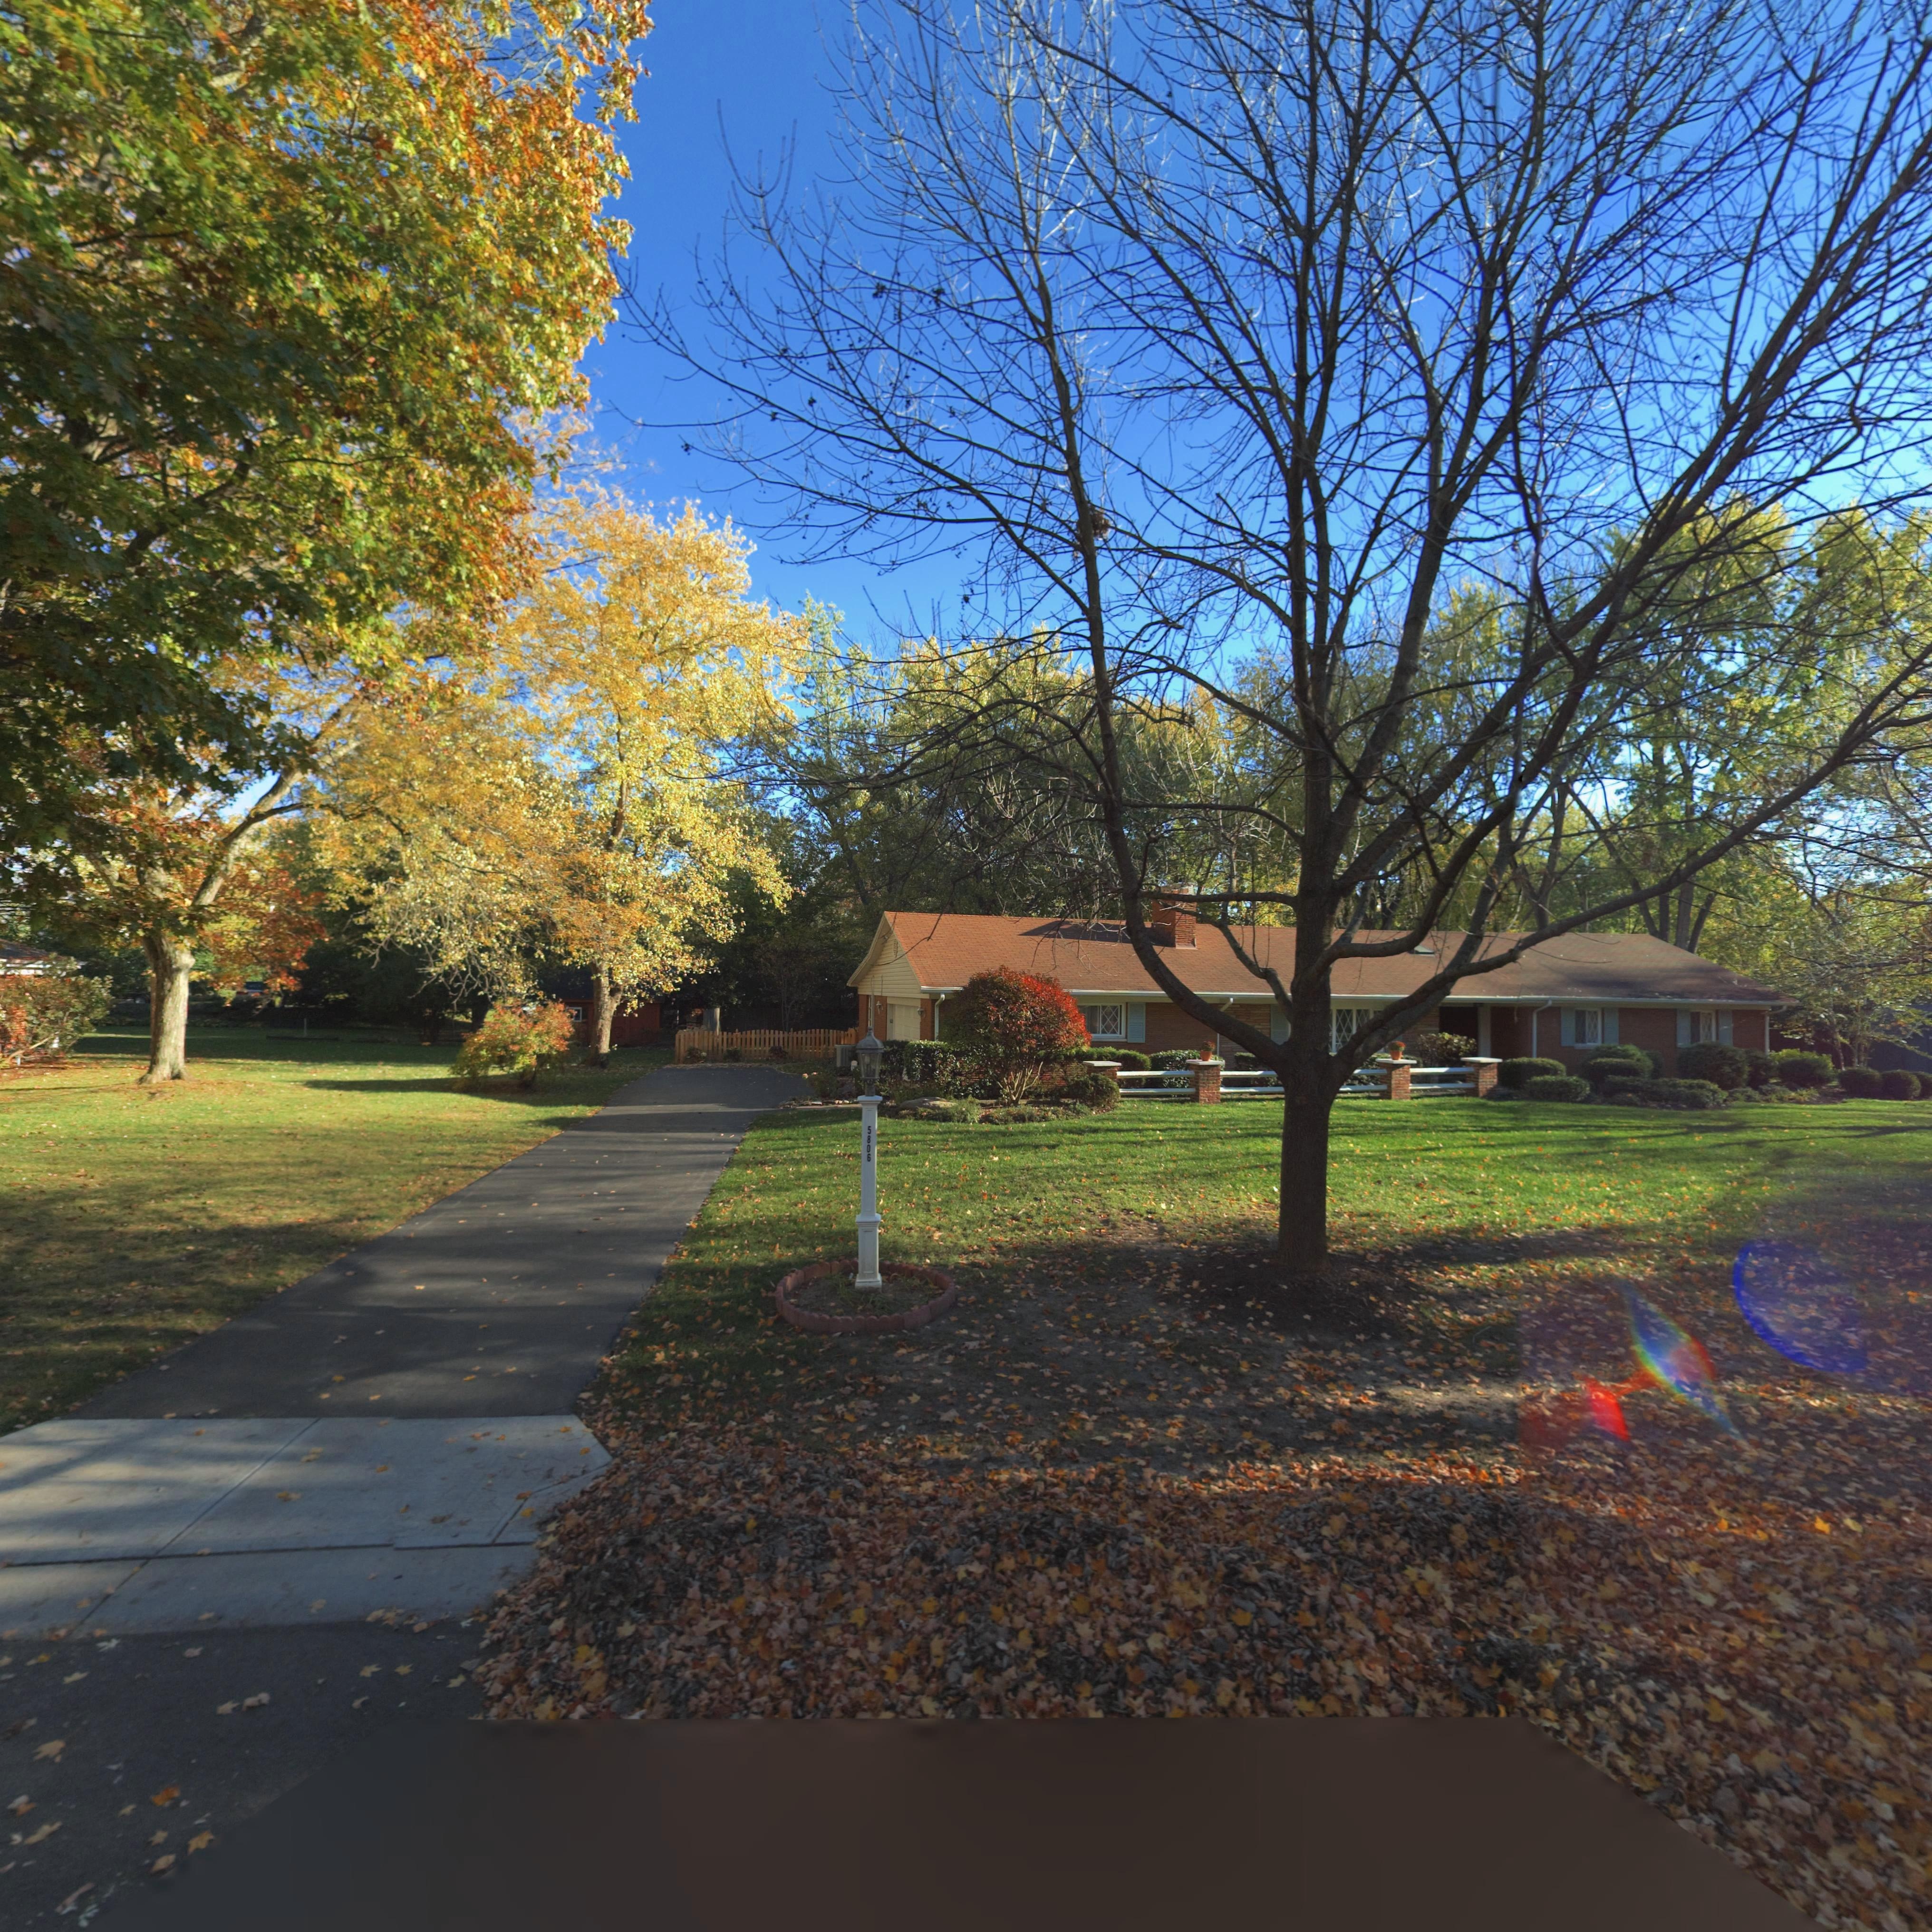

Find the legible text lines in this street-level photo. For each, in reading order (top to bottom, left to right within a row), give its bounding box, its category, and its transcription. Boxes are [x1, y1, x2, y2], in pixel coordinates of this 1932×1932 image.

[866, 1125, 871, 1163] StreetNumber: 5806